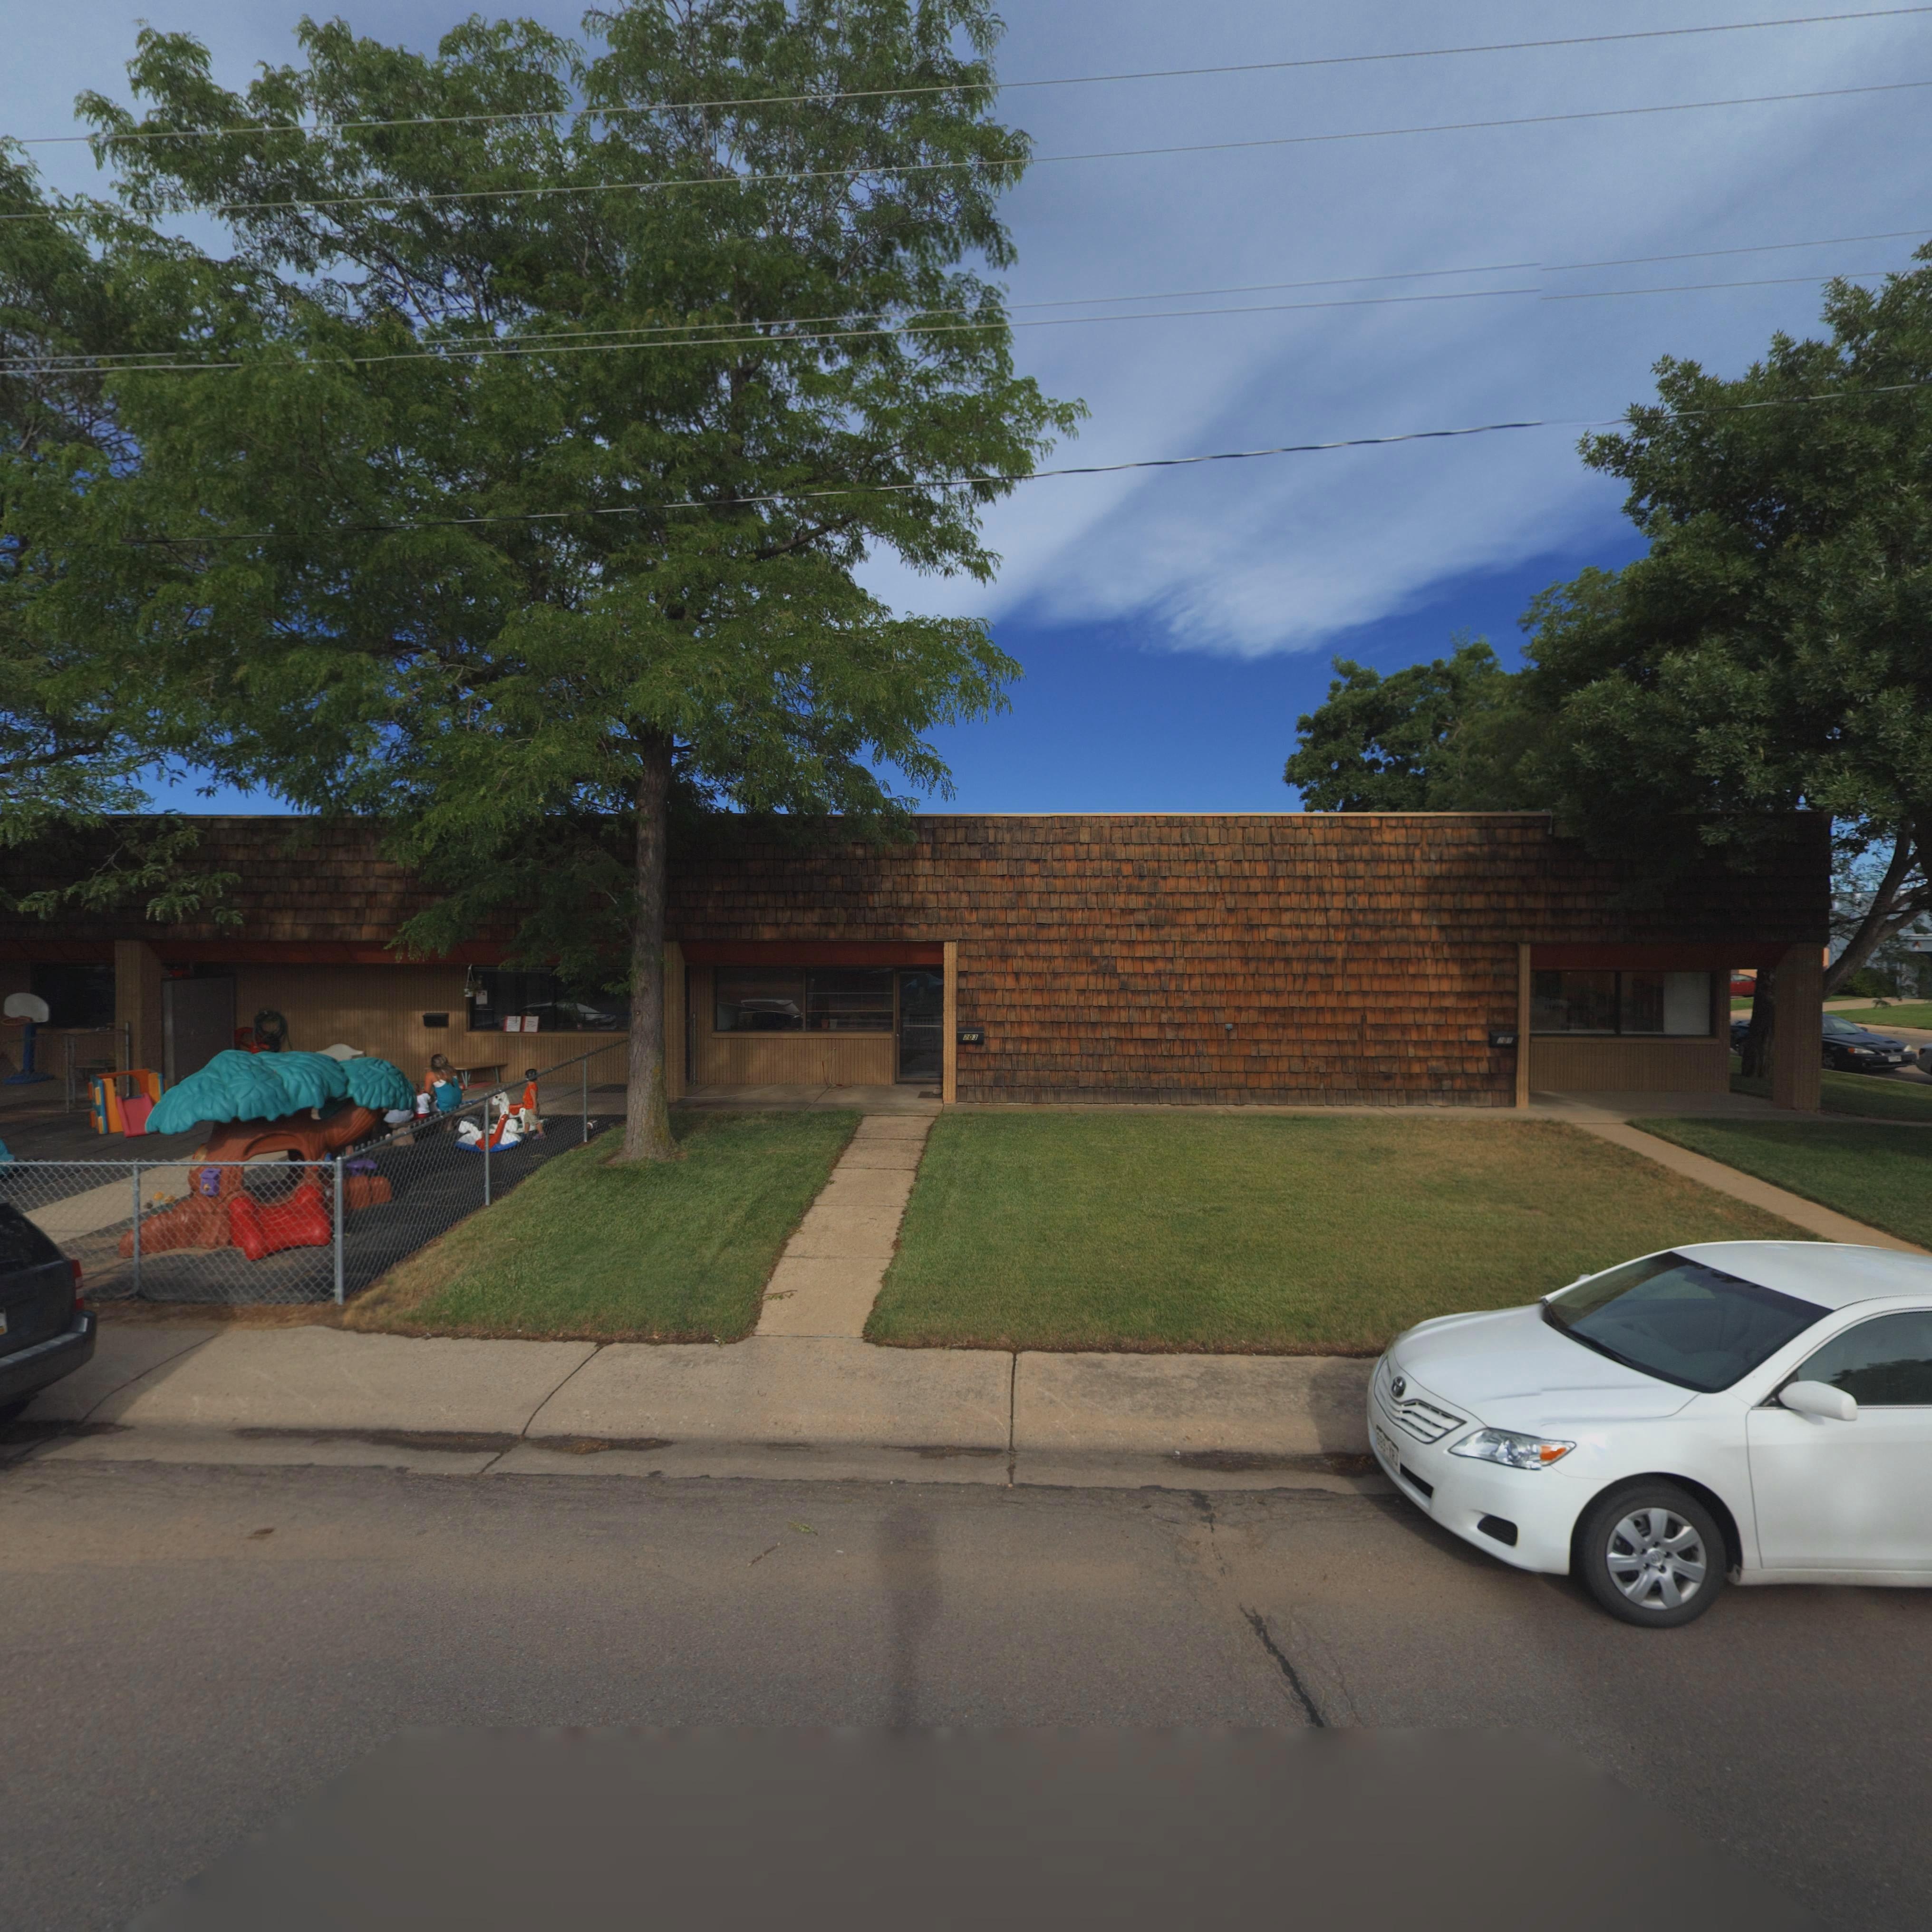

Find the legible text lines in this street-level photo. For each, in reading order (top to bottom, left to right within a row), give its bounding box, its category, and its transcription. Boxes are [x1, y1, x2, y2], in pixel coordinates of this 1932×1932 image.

[963, 1034, 977, 1040] StreetNumber: 203
[1497, 1036, 1513, 1043] StreetNumber: **1